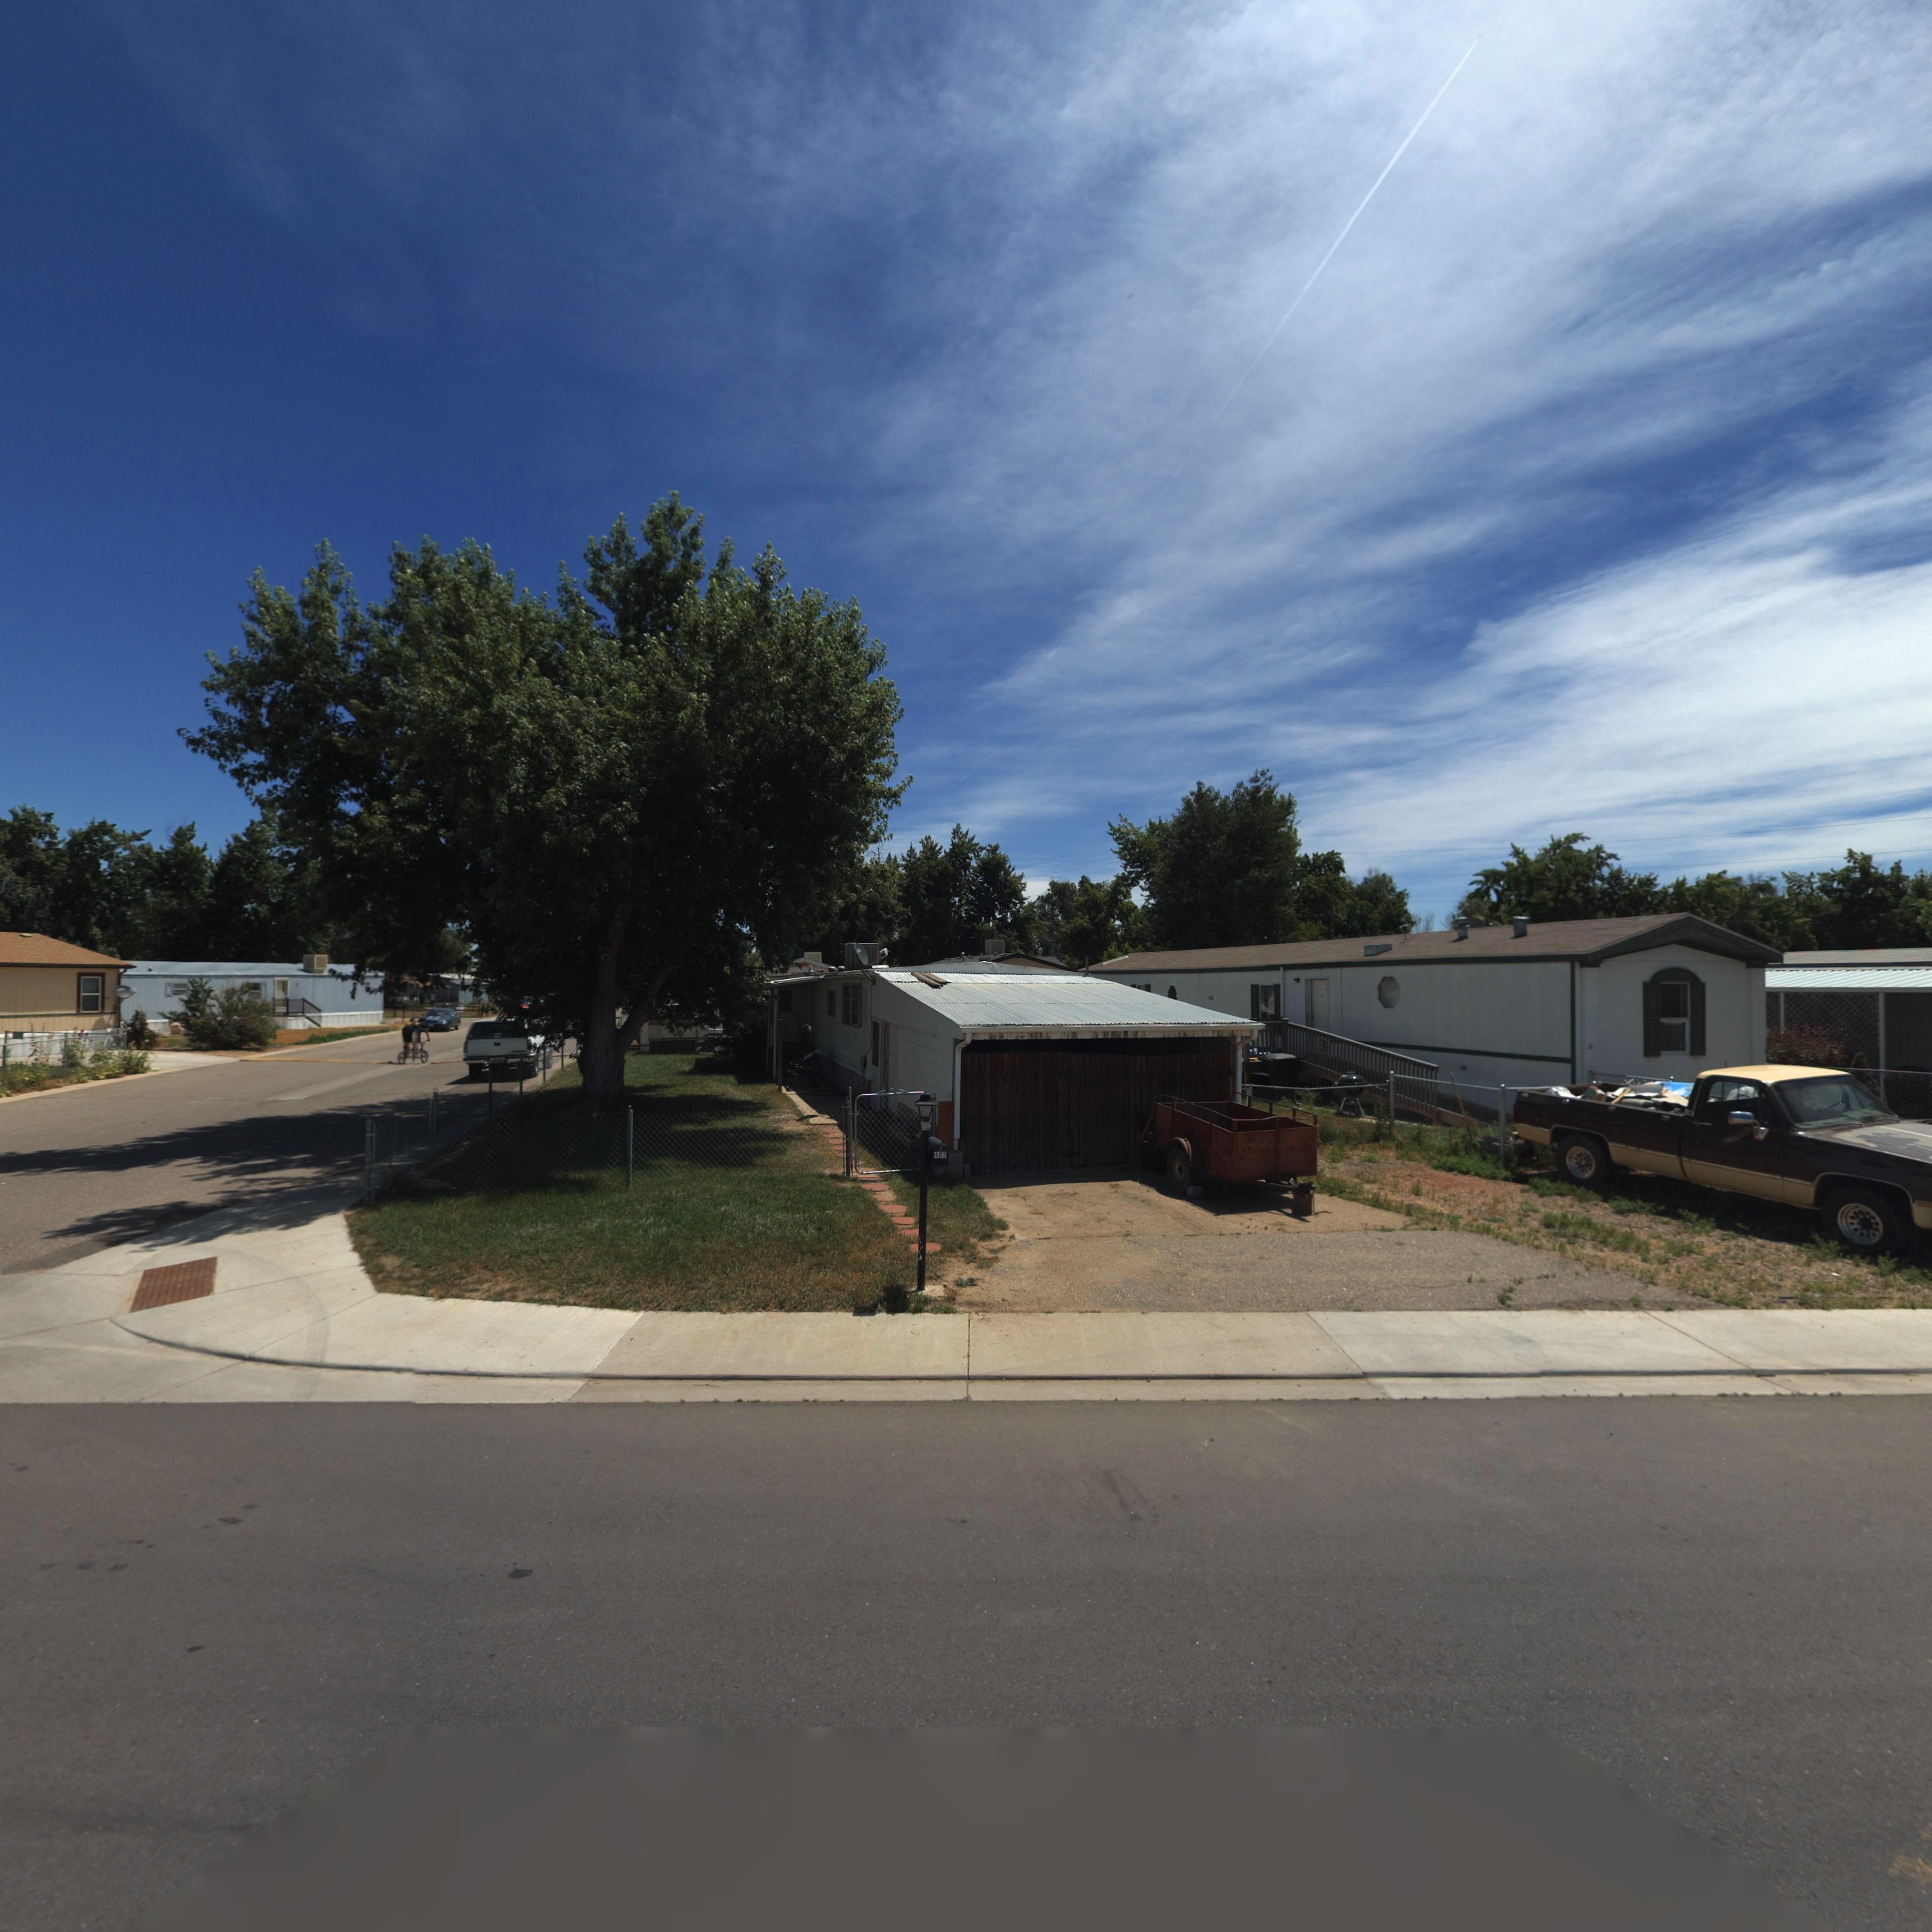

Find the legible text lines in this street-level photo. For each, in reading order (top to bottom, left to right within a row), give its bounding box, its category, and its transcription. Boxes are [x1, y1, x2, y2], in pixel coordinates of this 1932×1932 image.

[934, 1151, 946, 1158] StreetNumber: 402